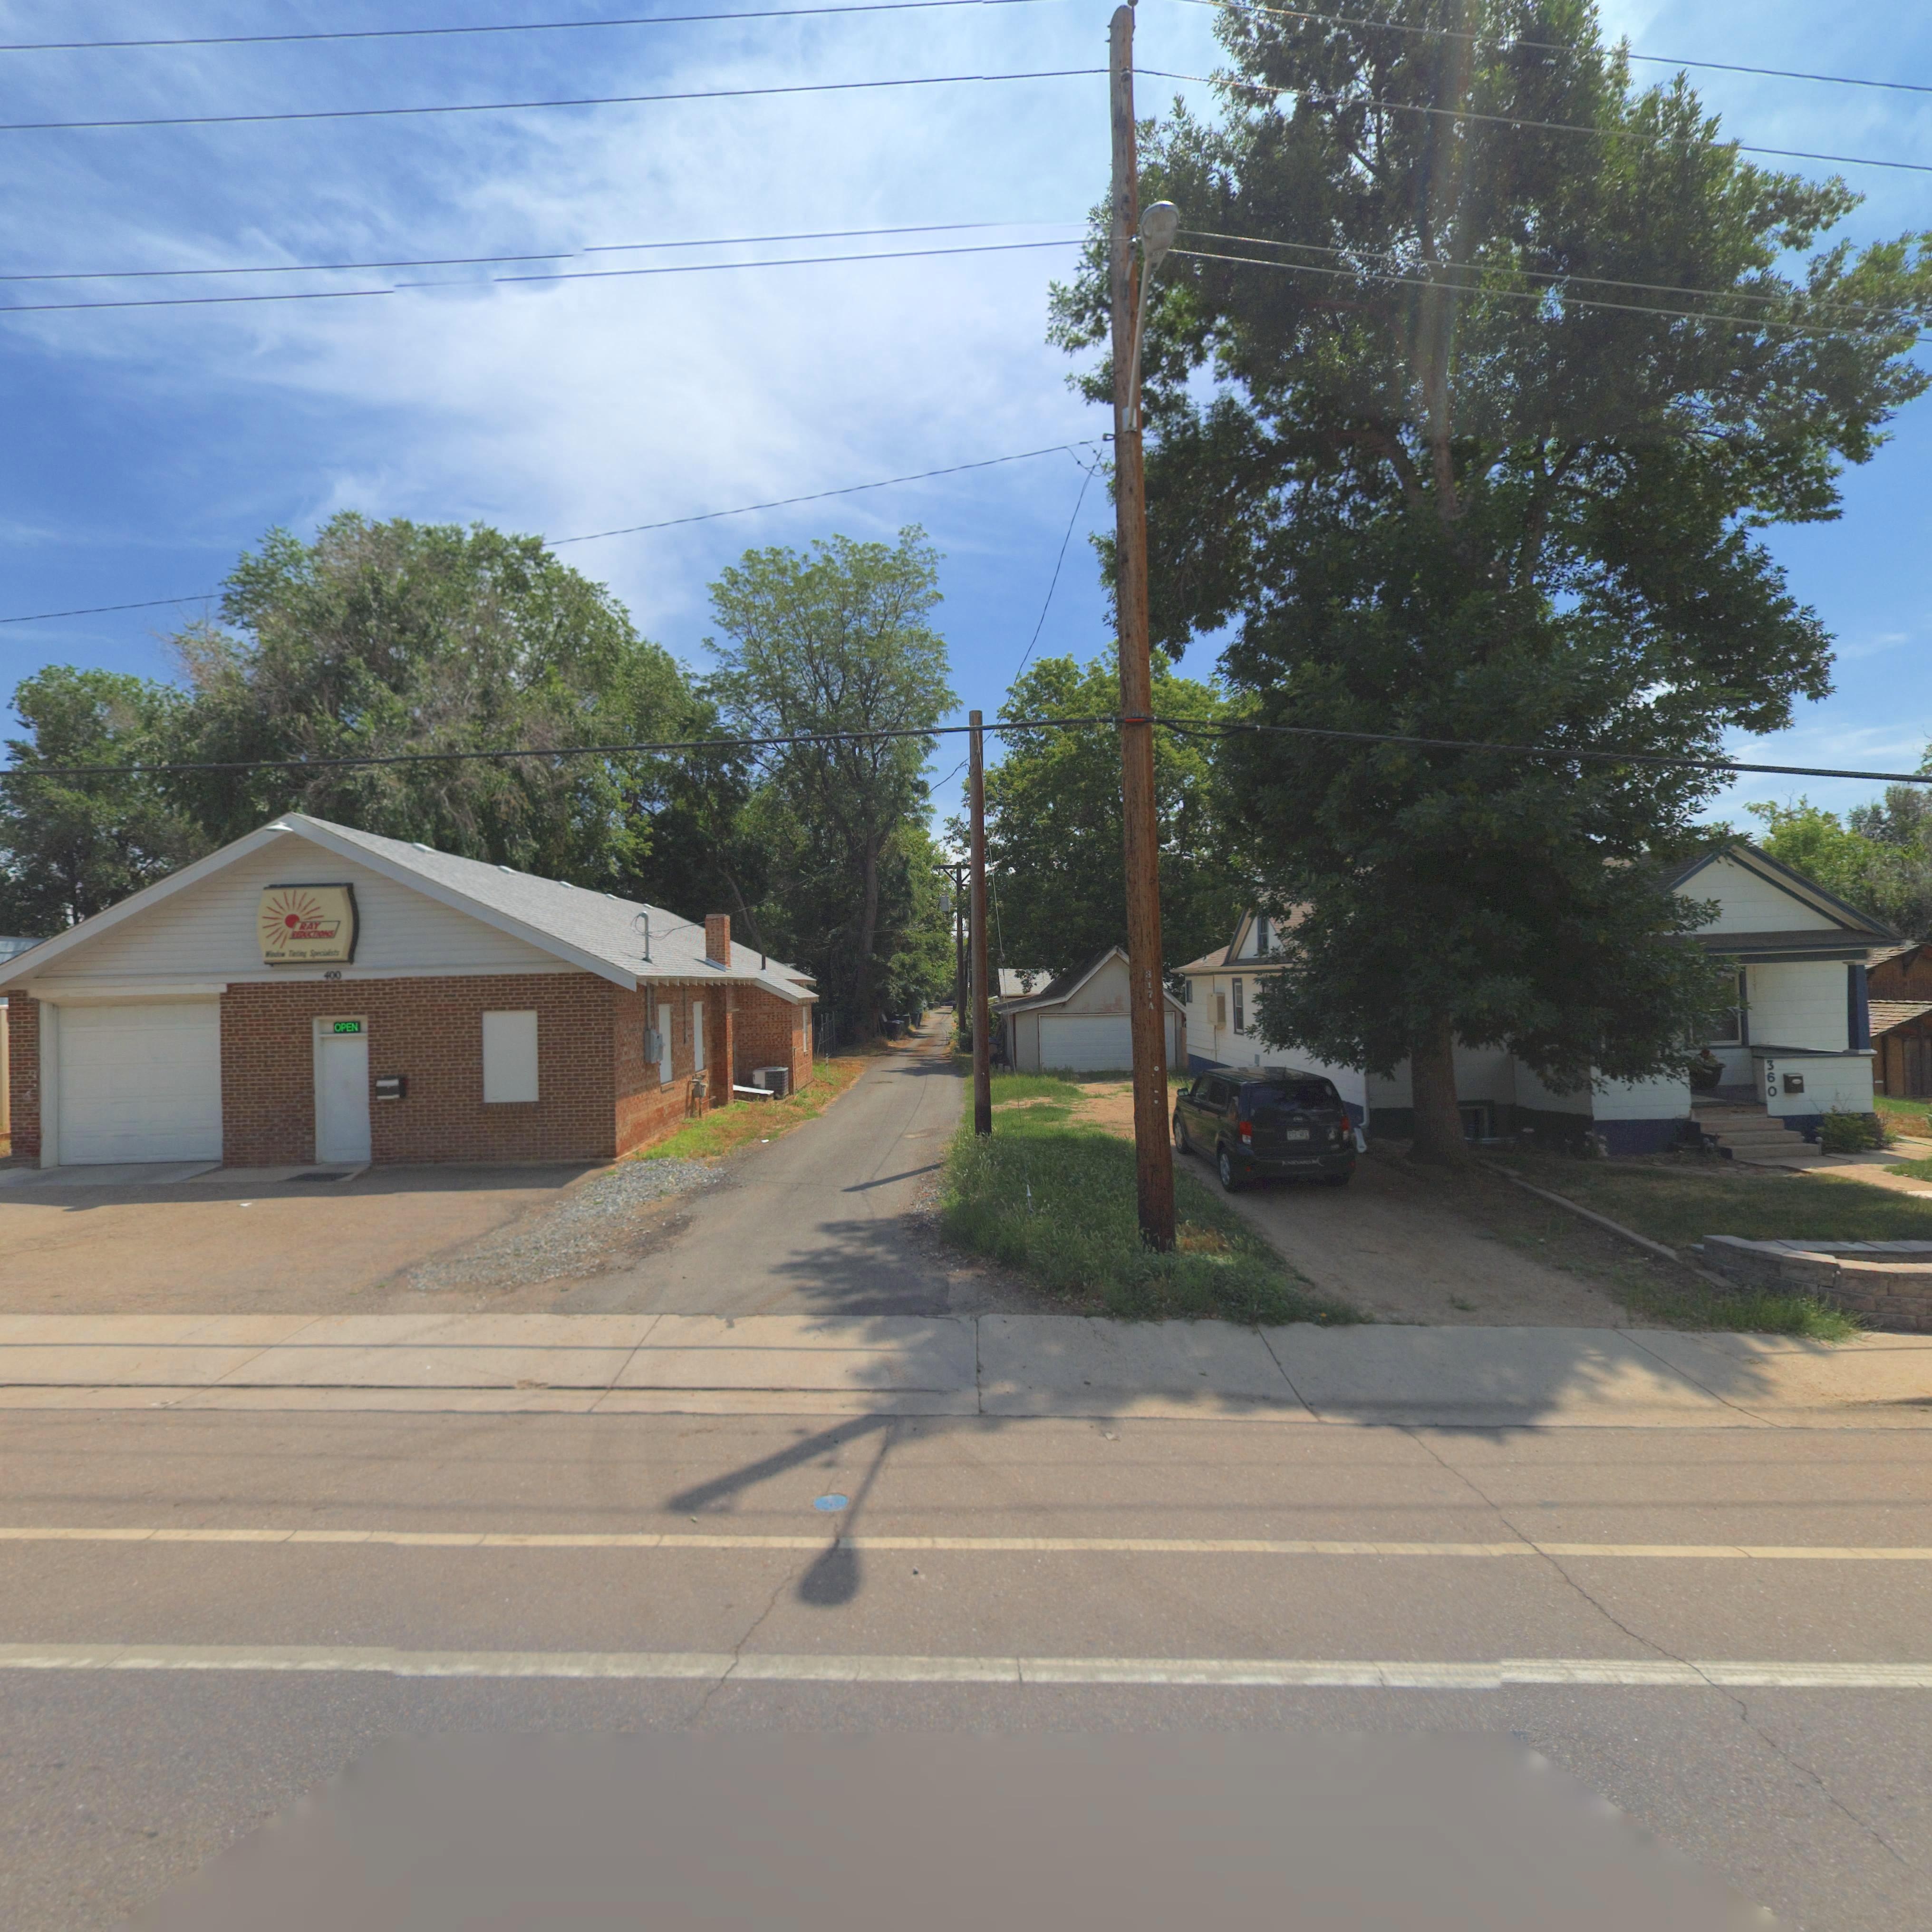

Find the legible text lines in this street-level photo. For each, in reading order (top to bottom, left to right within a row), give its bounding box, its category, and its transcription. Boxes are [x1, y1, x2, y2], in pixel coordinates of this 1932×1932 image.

[298, 922, 321, 930] BusinessName: RAY
[291, 930, 334, 938] BusinessName: REDUCTIONS
[324, 970, 341, 980] StreetNumber: 400
[1766, 1059, 1777, 1097] StreetNumber: 360